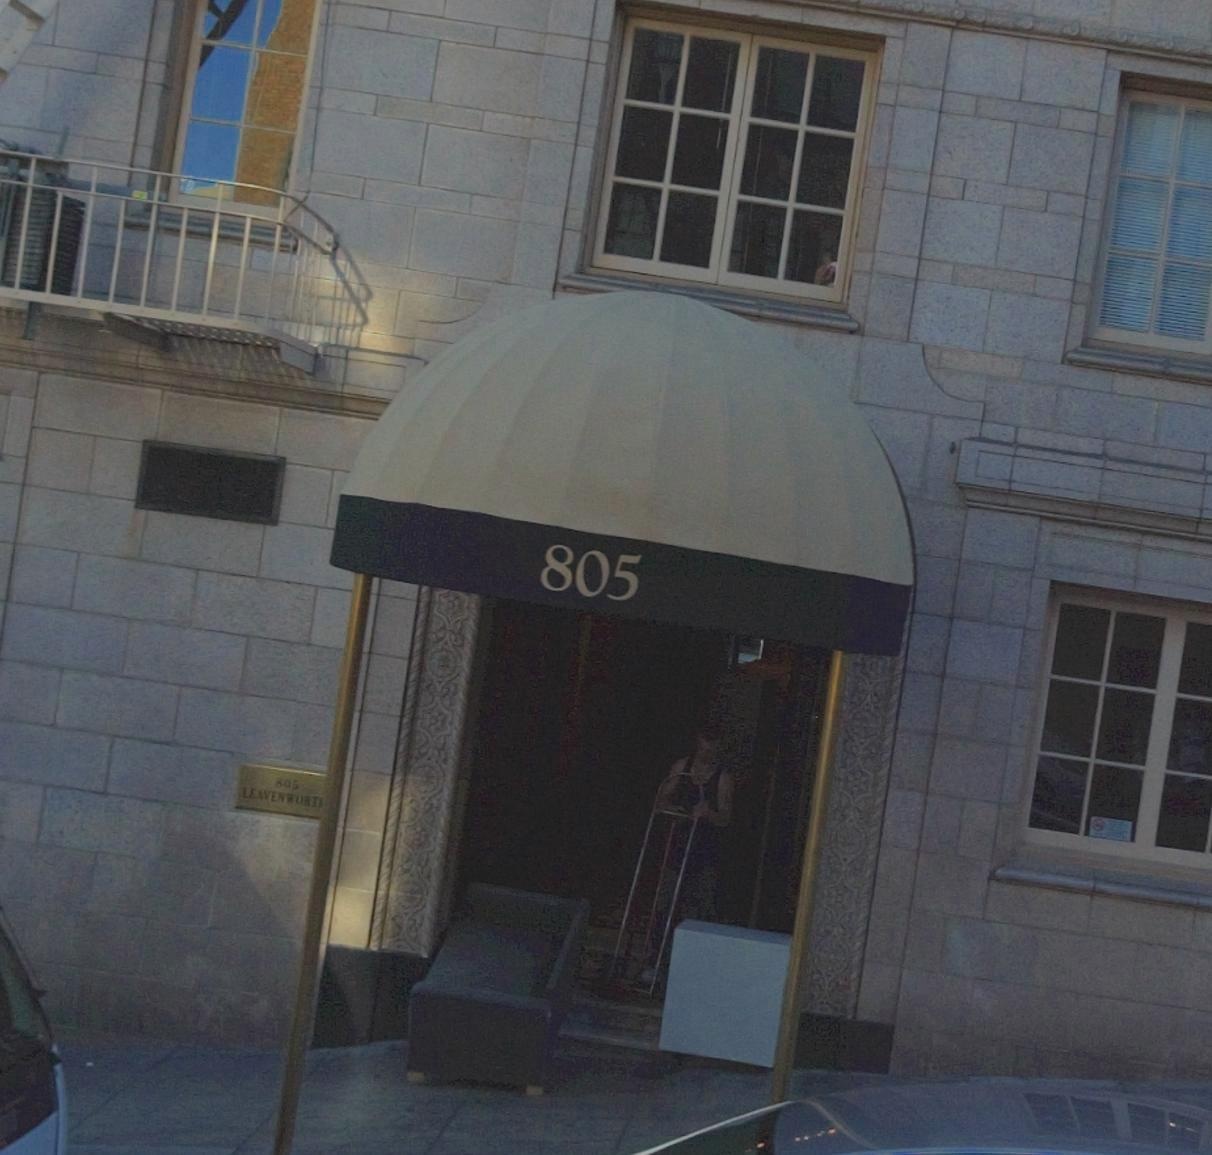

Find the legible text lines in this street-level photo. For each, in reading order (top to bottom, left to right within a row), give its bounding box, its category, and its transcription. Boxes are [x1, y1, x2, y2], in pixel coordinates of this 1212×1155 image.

[536, 541, 644, 604] StreetNumber: 805
[273, 775, 301, 792] StreetNumber: 805
[240, 785, 328, 810] StreetName: LEAVENWORT*